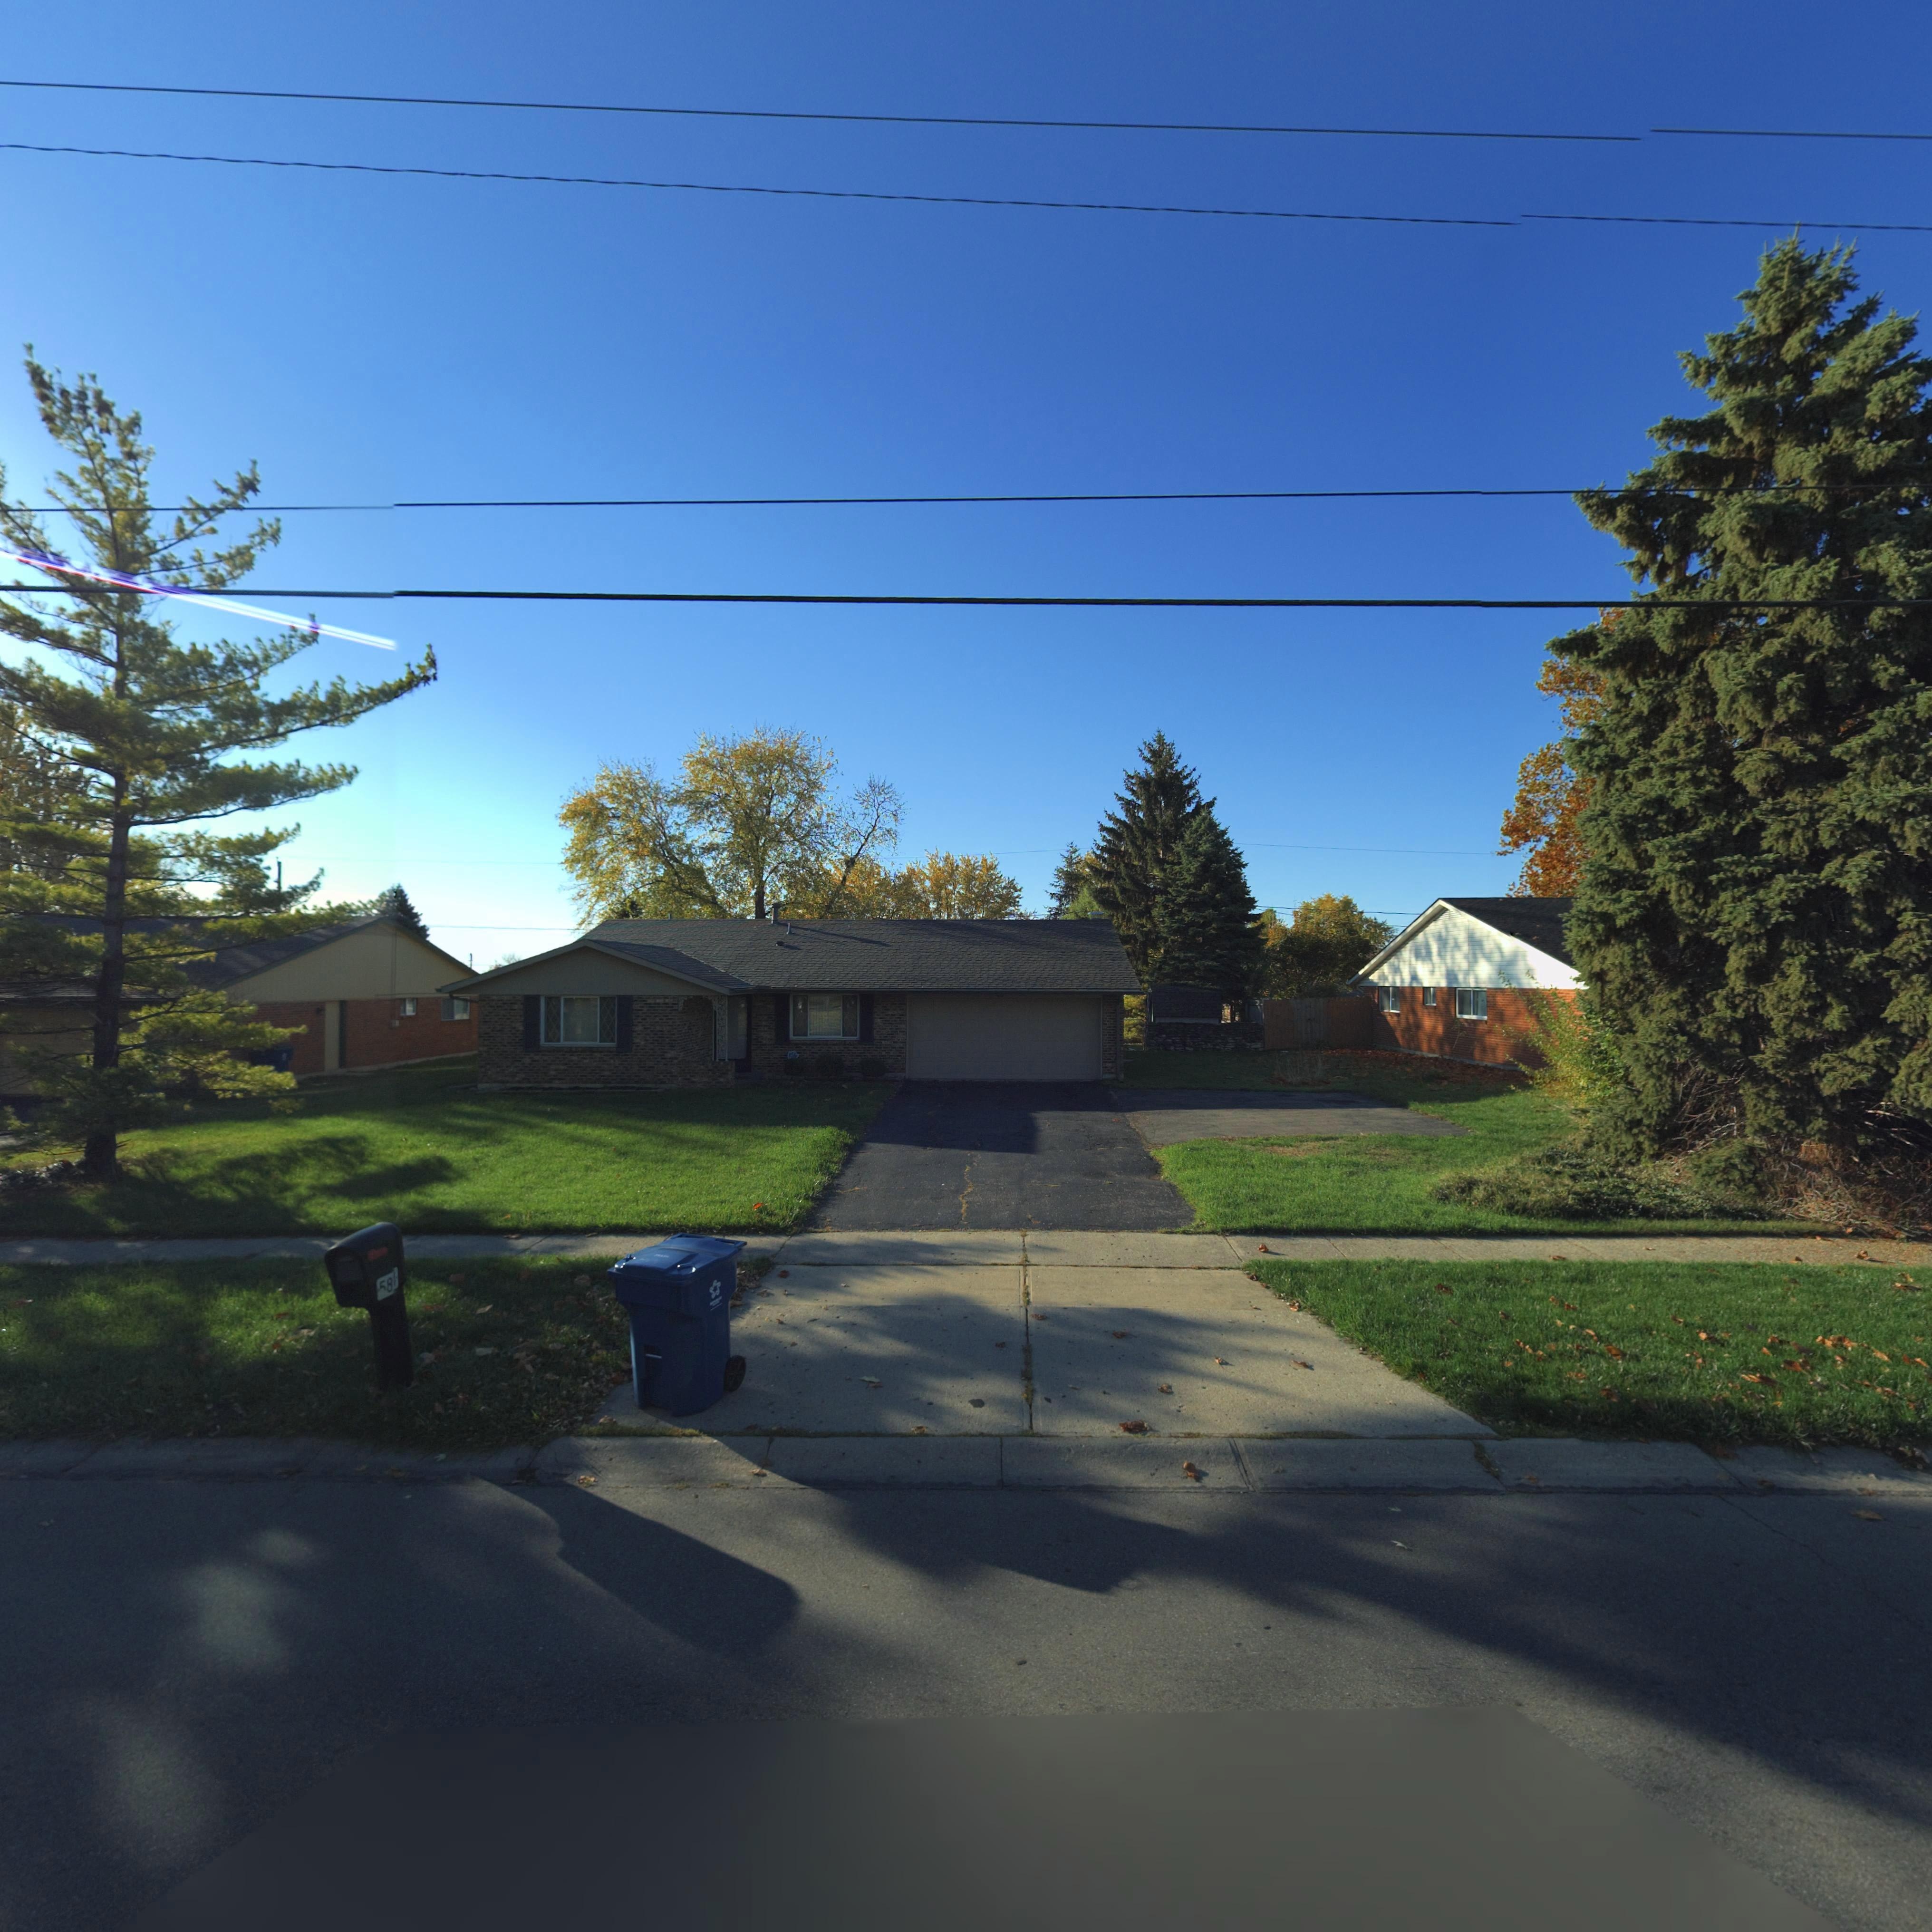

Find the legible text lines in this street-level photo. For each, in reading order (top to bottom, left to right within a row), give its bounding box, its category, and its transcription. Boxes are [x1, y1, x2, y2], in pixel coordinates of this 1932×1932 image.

[378, 1268, 398, 1300] StreetNumber: *8*